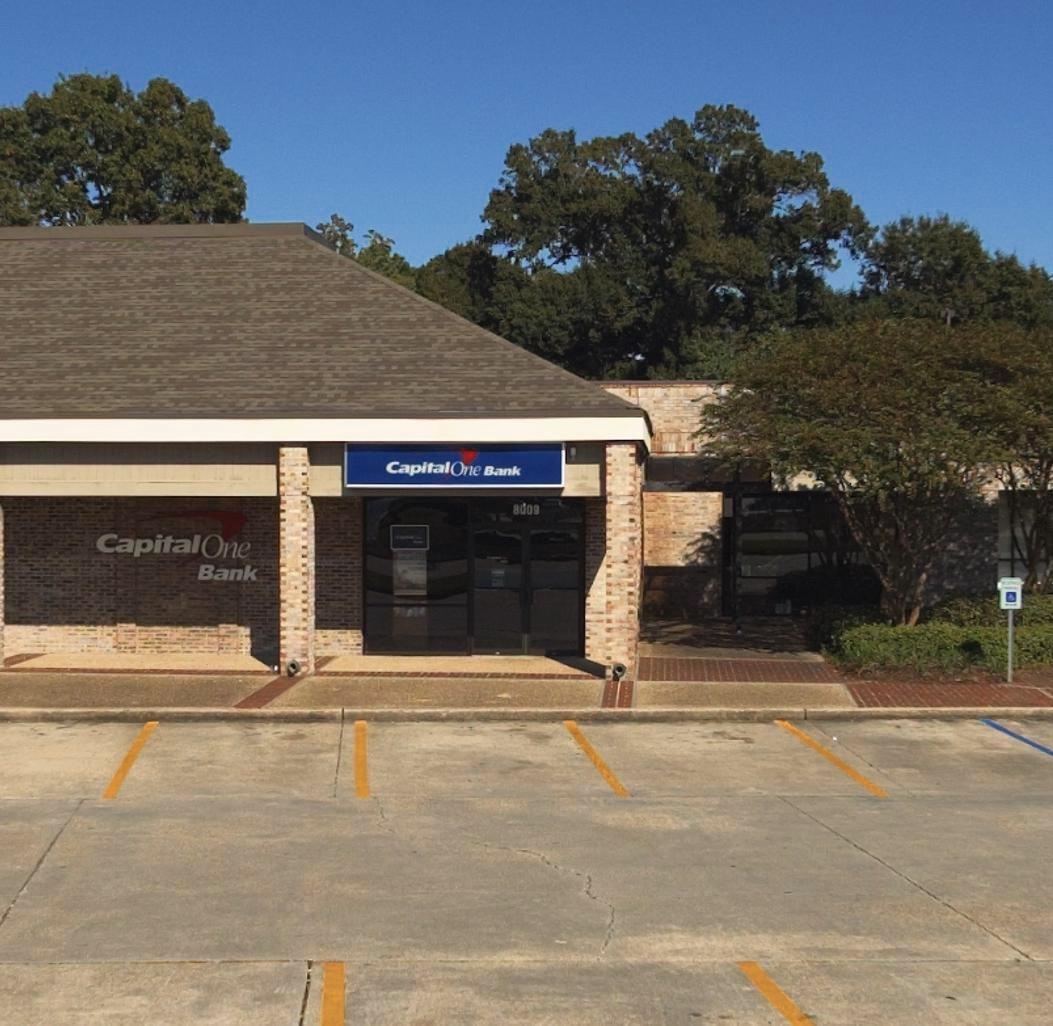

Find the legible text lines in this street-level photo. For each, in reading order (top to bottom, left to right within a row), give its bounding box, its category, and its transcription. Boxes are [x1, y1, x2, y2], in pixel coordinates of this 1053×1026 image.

[384, 459, 523, 479] BusinessName: Capital One Bank\
[511, 502, 541, 516] StreetNumber: 8009
[93, 531, 253, 559] BusinessName: Capital One
[196, 562, 260, 581] BusinessName: Bank